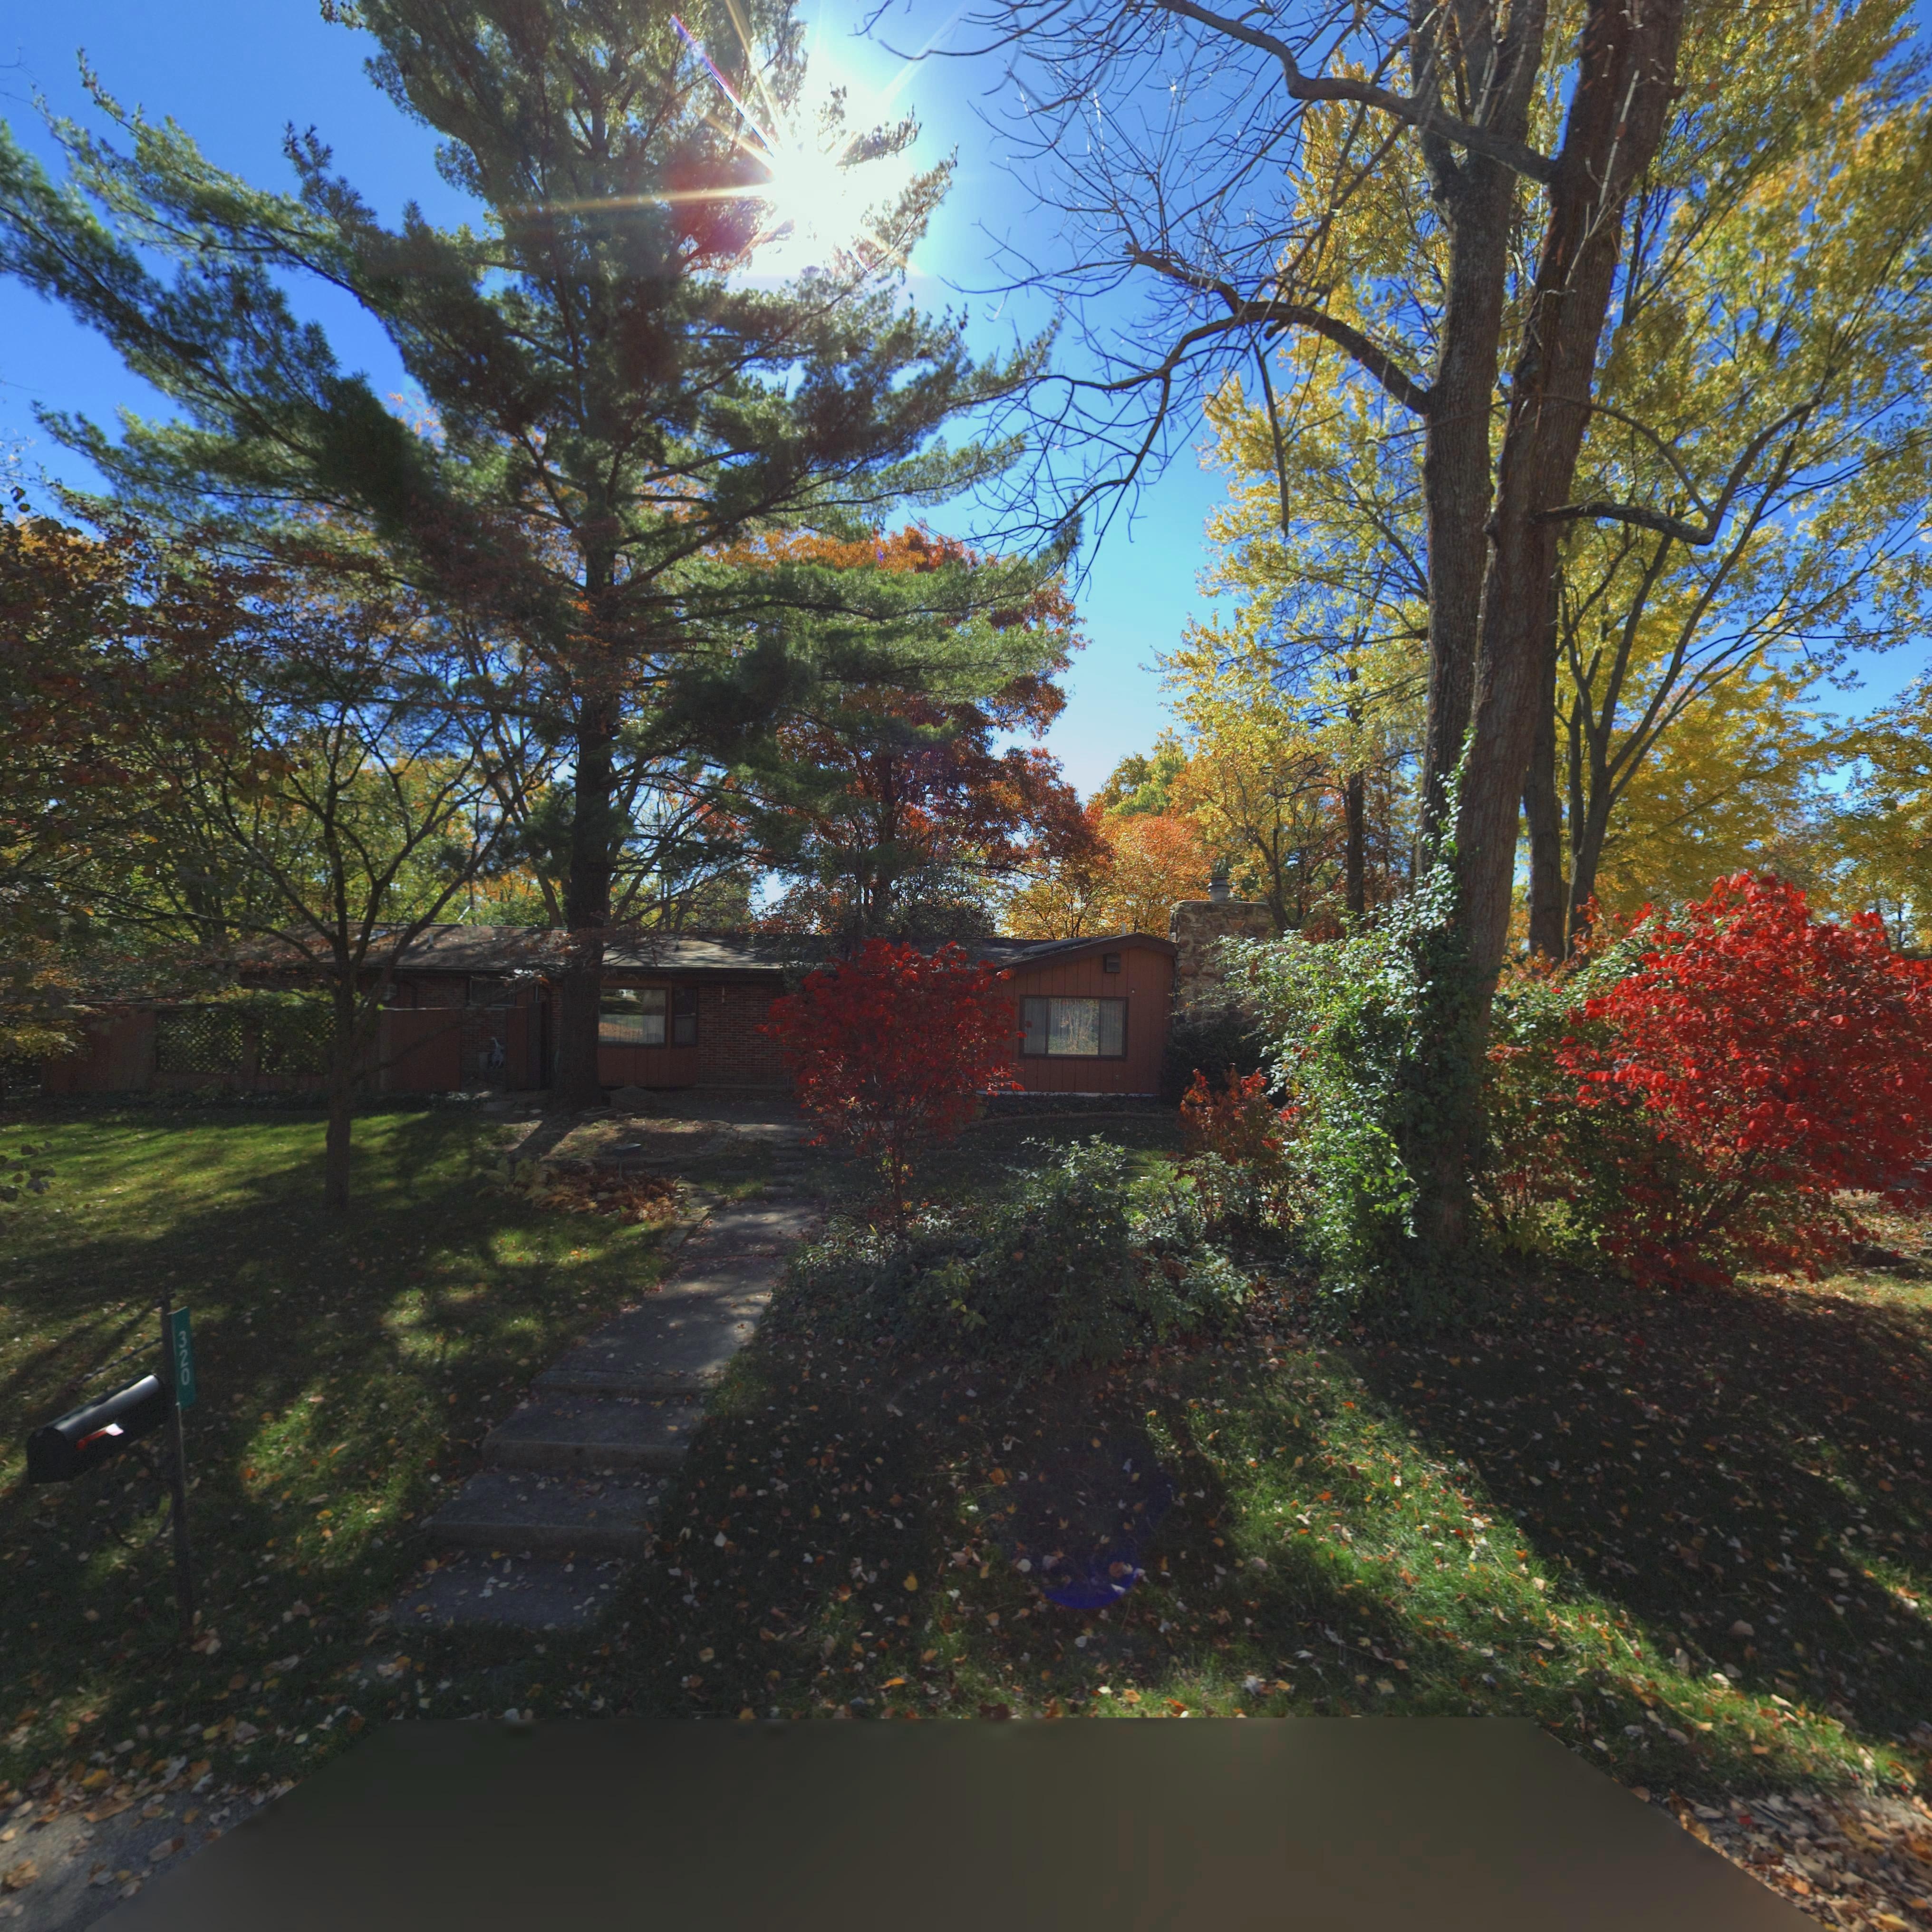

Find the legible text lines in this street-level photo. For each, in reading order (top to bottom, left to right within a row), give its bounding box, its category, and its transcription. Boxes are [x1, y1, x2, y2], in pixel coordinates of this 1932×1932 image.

[176, 1328, 192, 1389] StreetNumber: 320